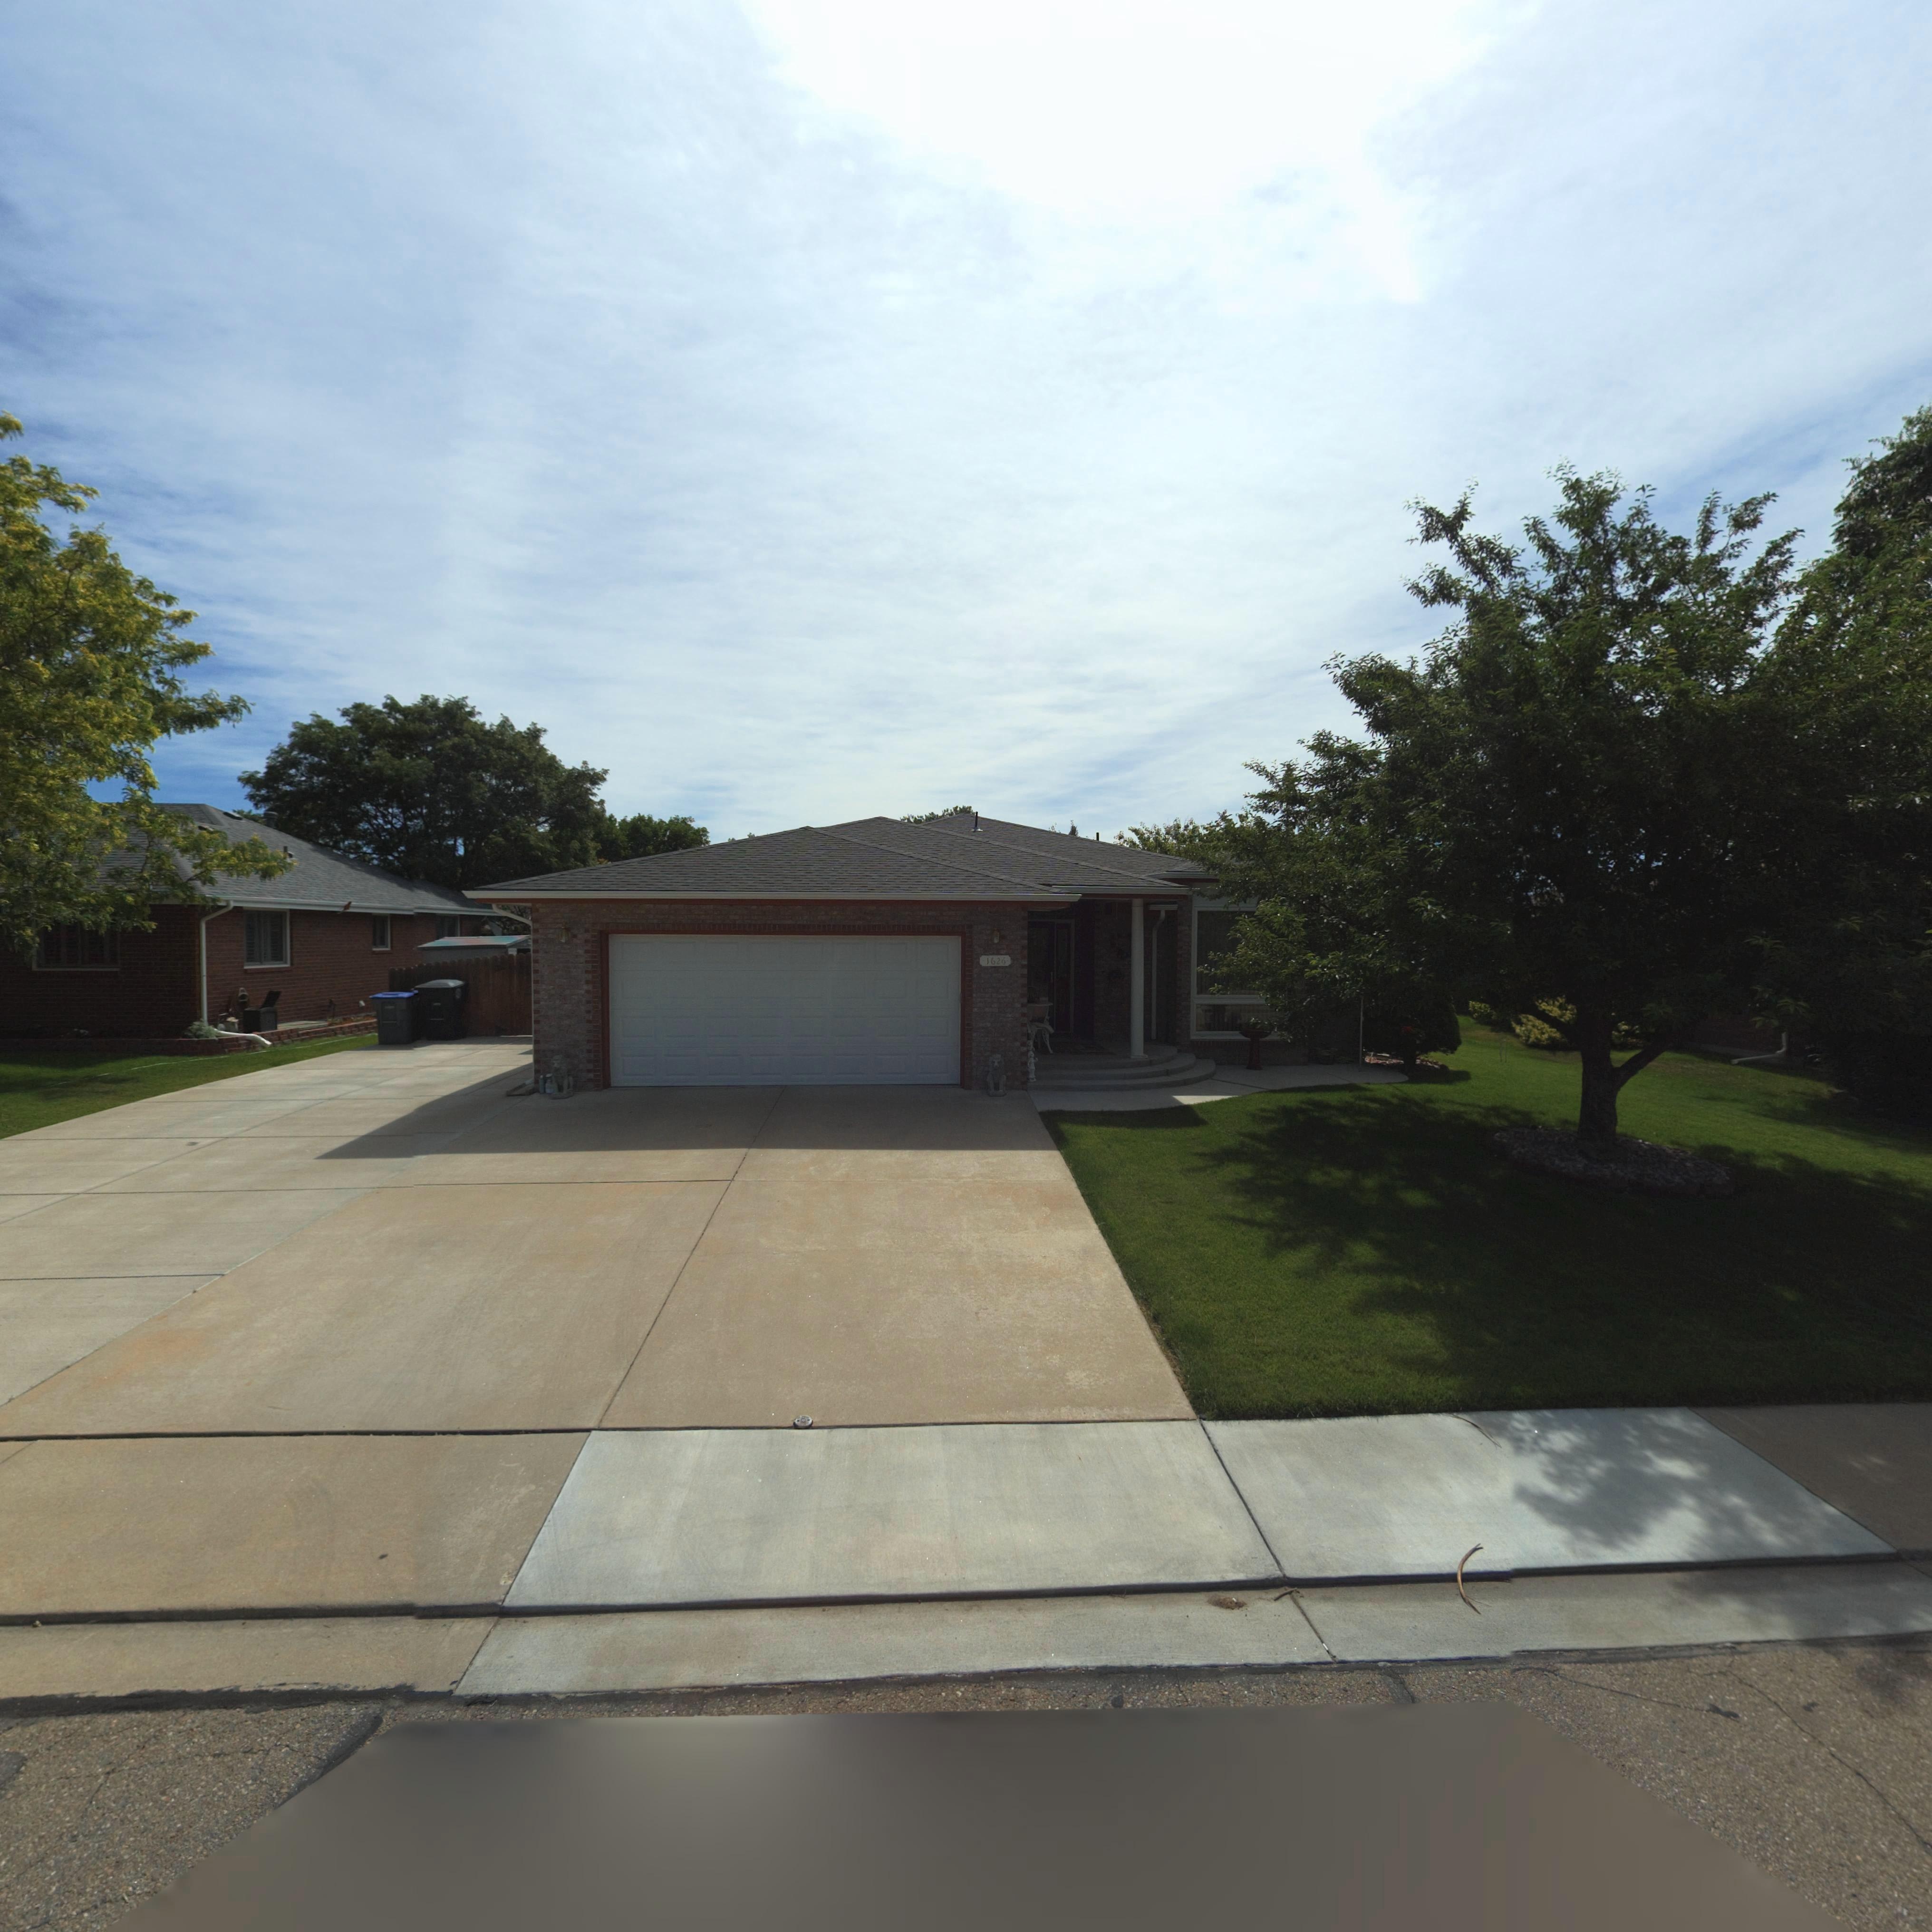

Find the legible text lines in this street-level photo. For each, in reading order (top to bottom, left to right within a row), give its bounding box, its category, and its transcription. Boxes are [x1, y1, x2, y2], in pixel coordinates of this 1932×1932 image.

[986, 956, 1006, 965] StreetNumber: 1626